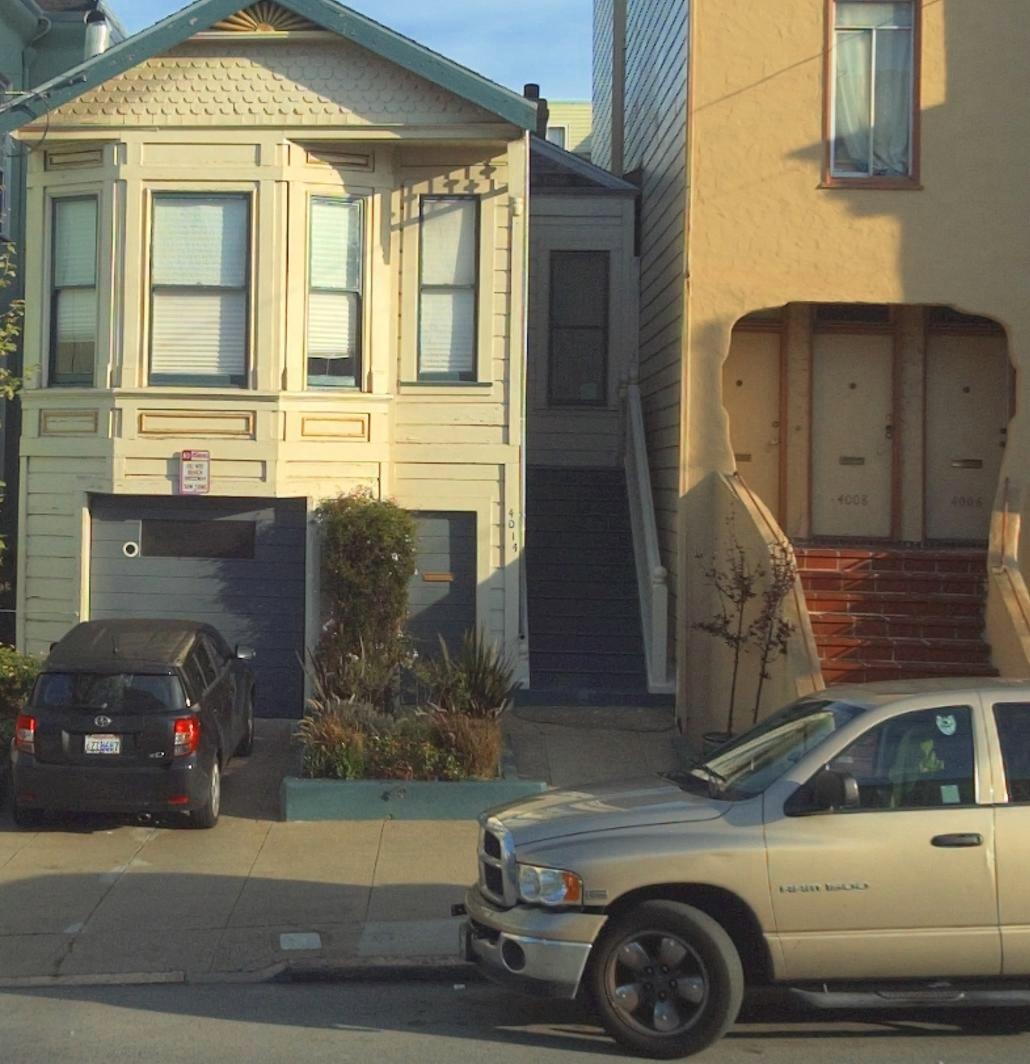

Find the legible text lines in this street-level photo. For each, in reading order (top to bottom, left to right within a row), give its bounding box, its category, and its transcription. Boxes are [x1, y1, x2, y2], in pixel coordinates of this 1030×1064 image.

[834, 491, 870, 508] StreetNumber: 4008
[947, 493, 986, 510] StreetNumber: 4006
[506, 506, 521, 554] StreetNumber: 4014
[101, 738, 121, 755] None: 6*7